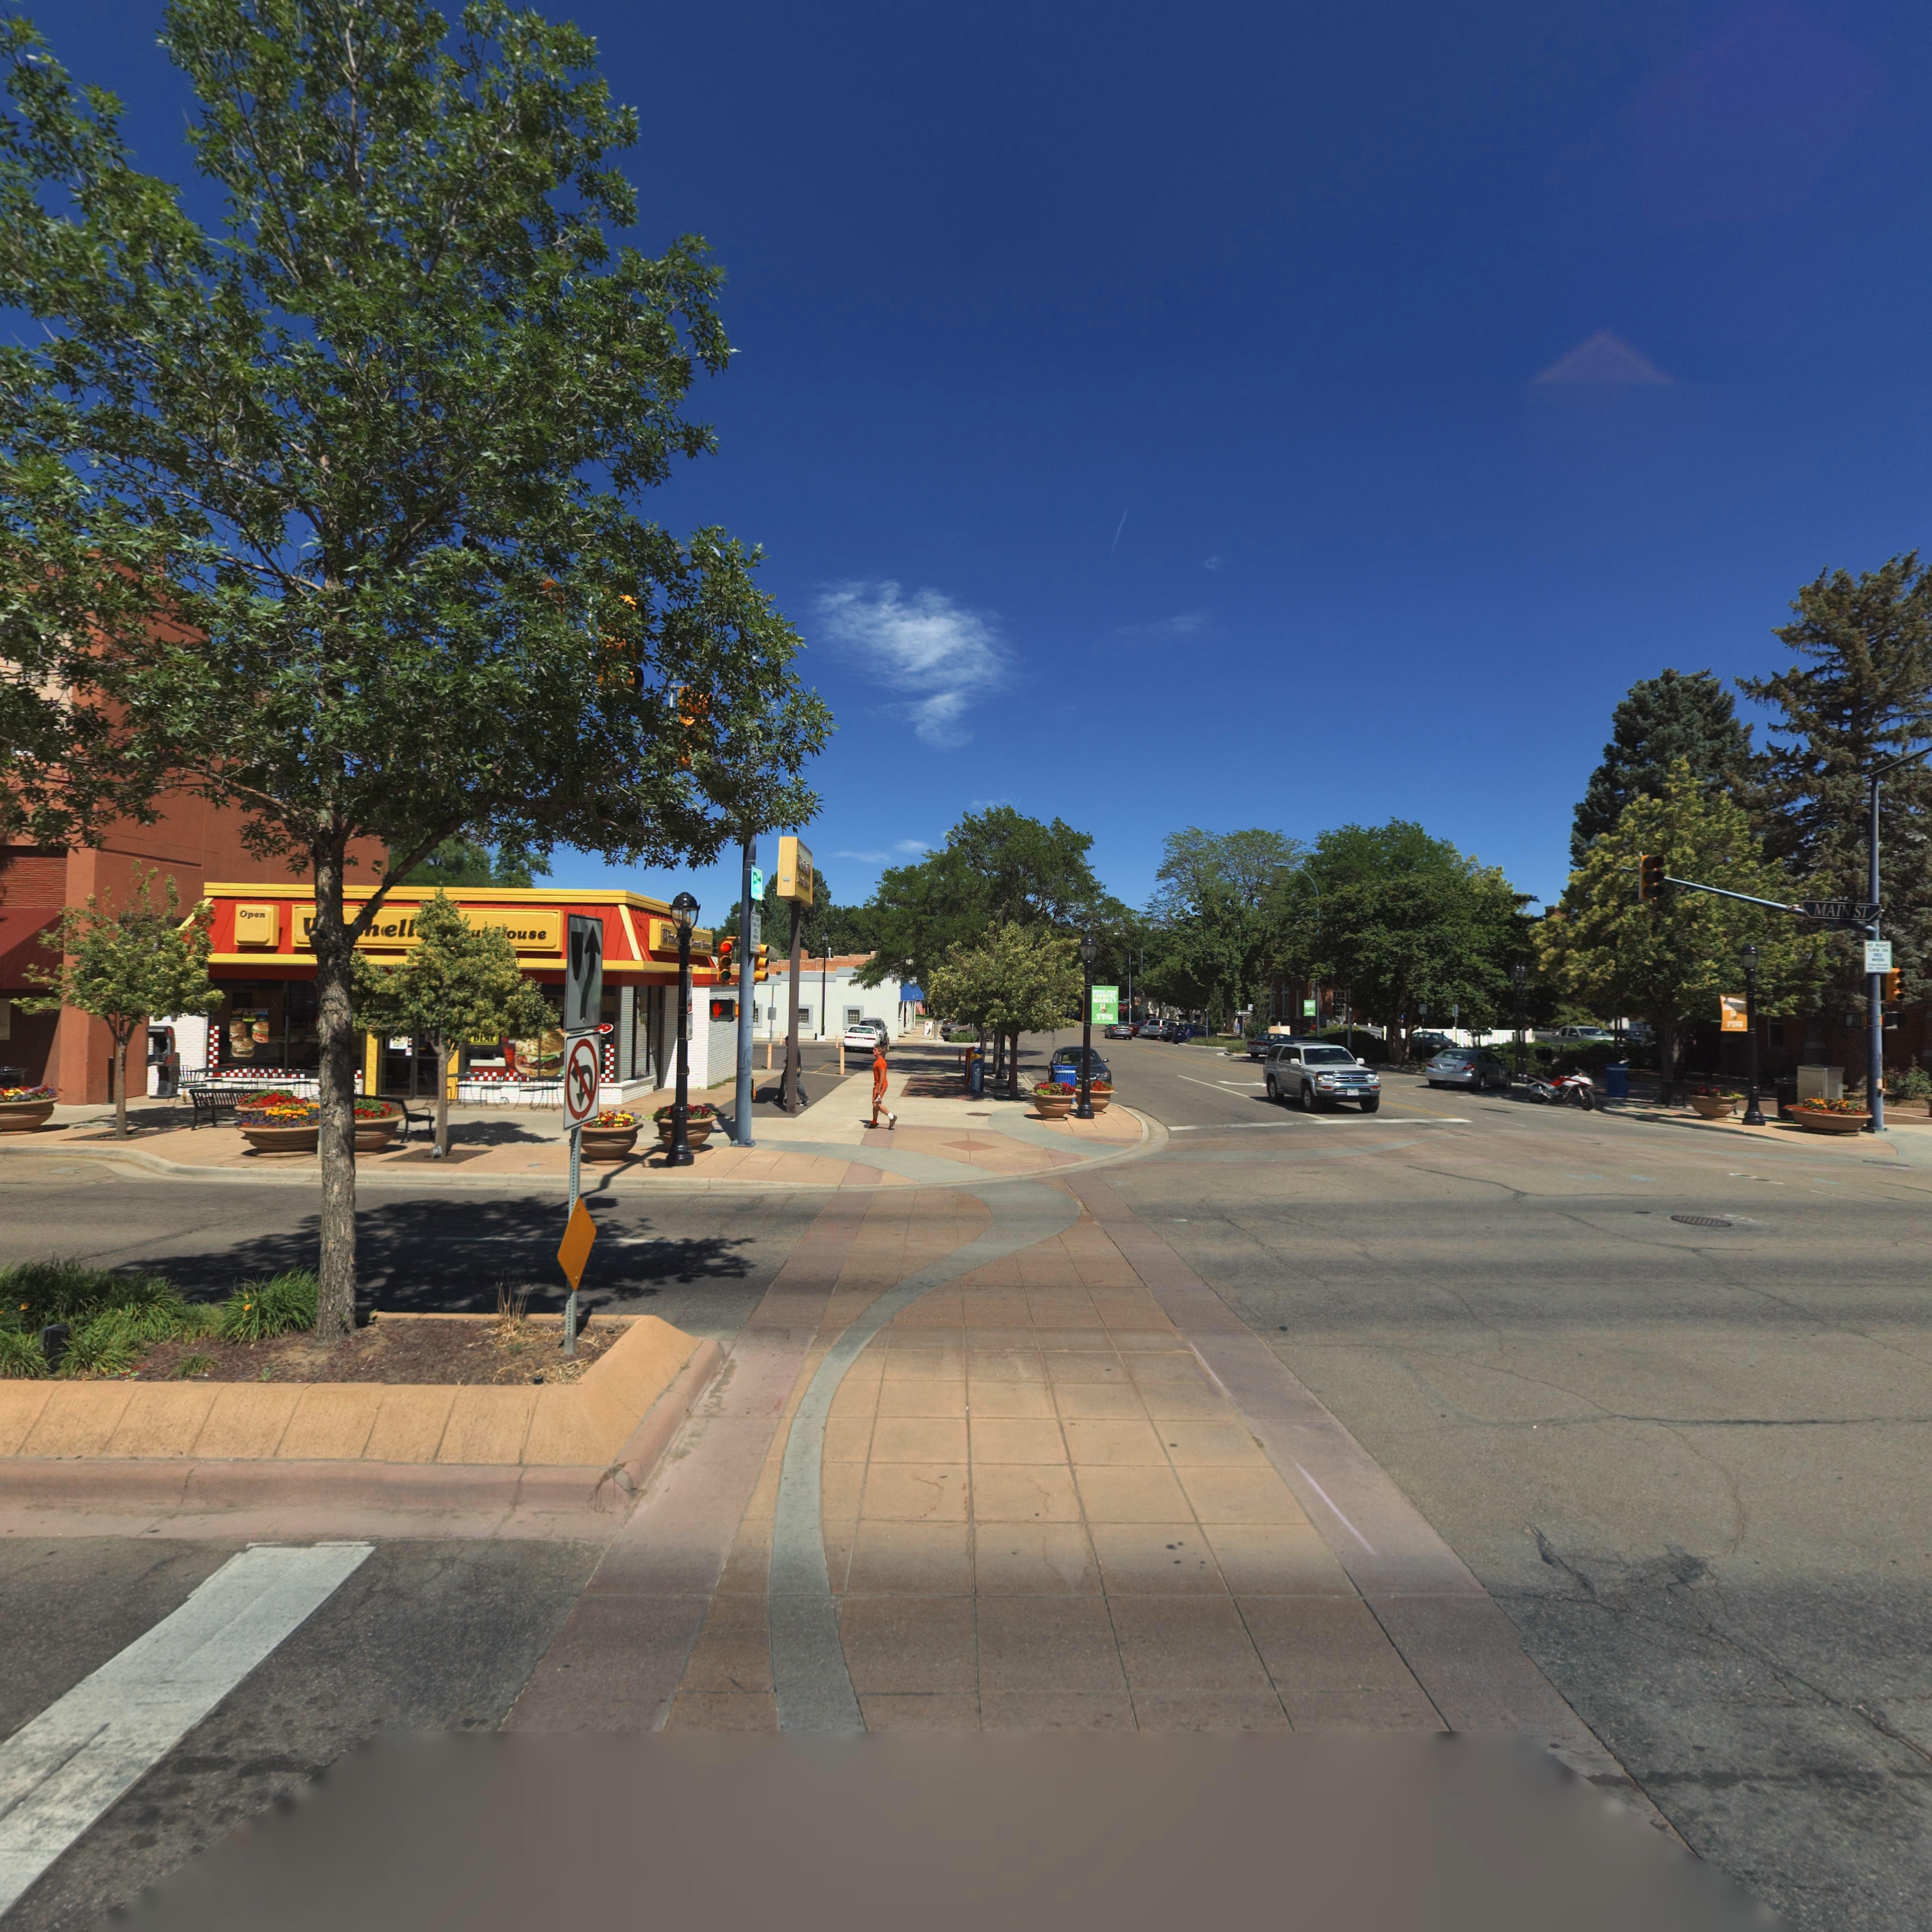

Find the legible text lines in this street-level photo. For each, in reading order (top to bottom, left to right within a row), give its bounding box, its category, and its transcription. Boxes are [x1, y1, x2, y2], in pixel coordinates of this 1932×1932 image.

[1813, 903, 1870, 918] StreetName: MAIN ST
[302, 917, 546, 940] BusinessName: ******ell* ***** *ouse 
[662, 927, 712, 949] BusinessName: Win***** ***** *****